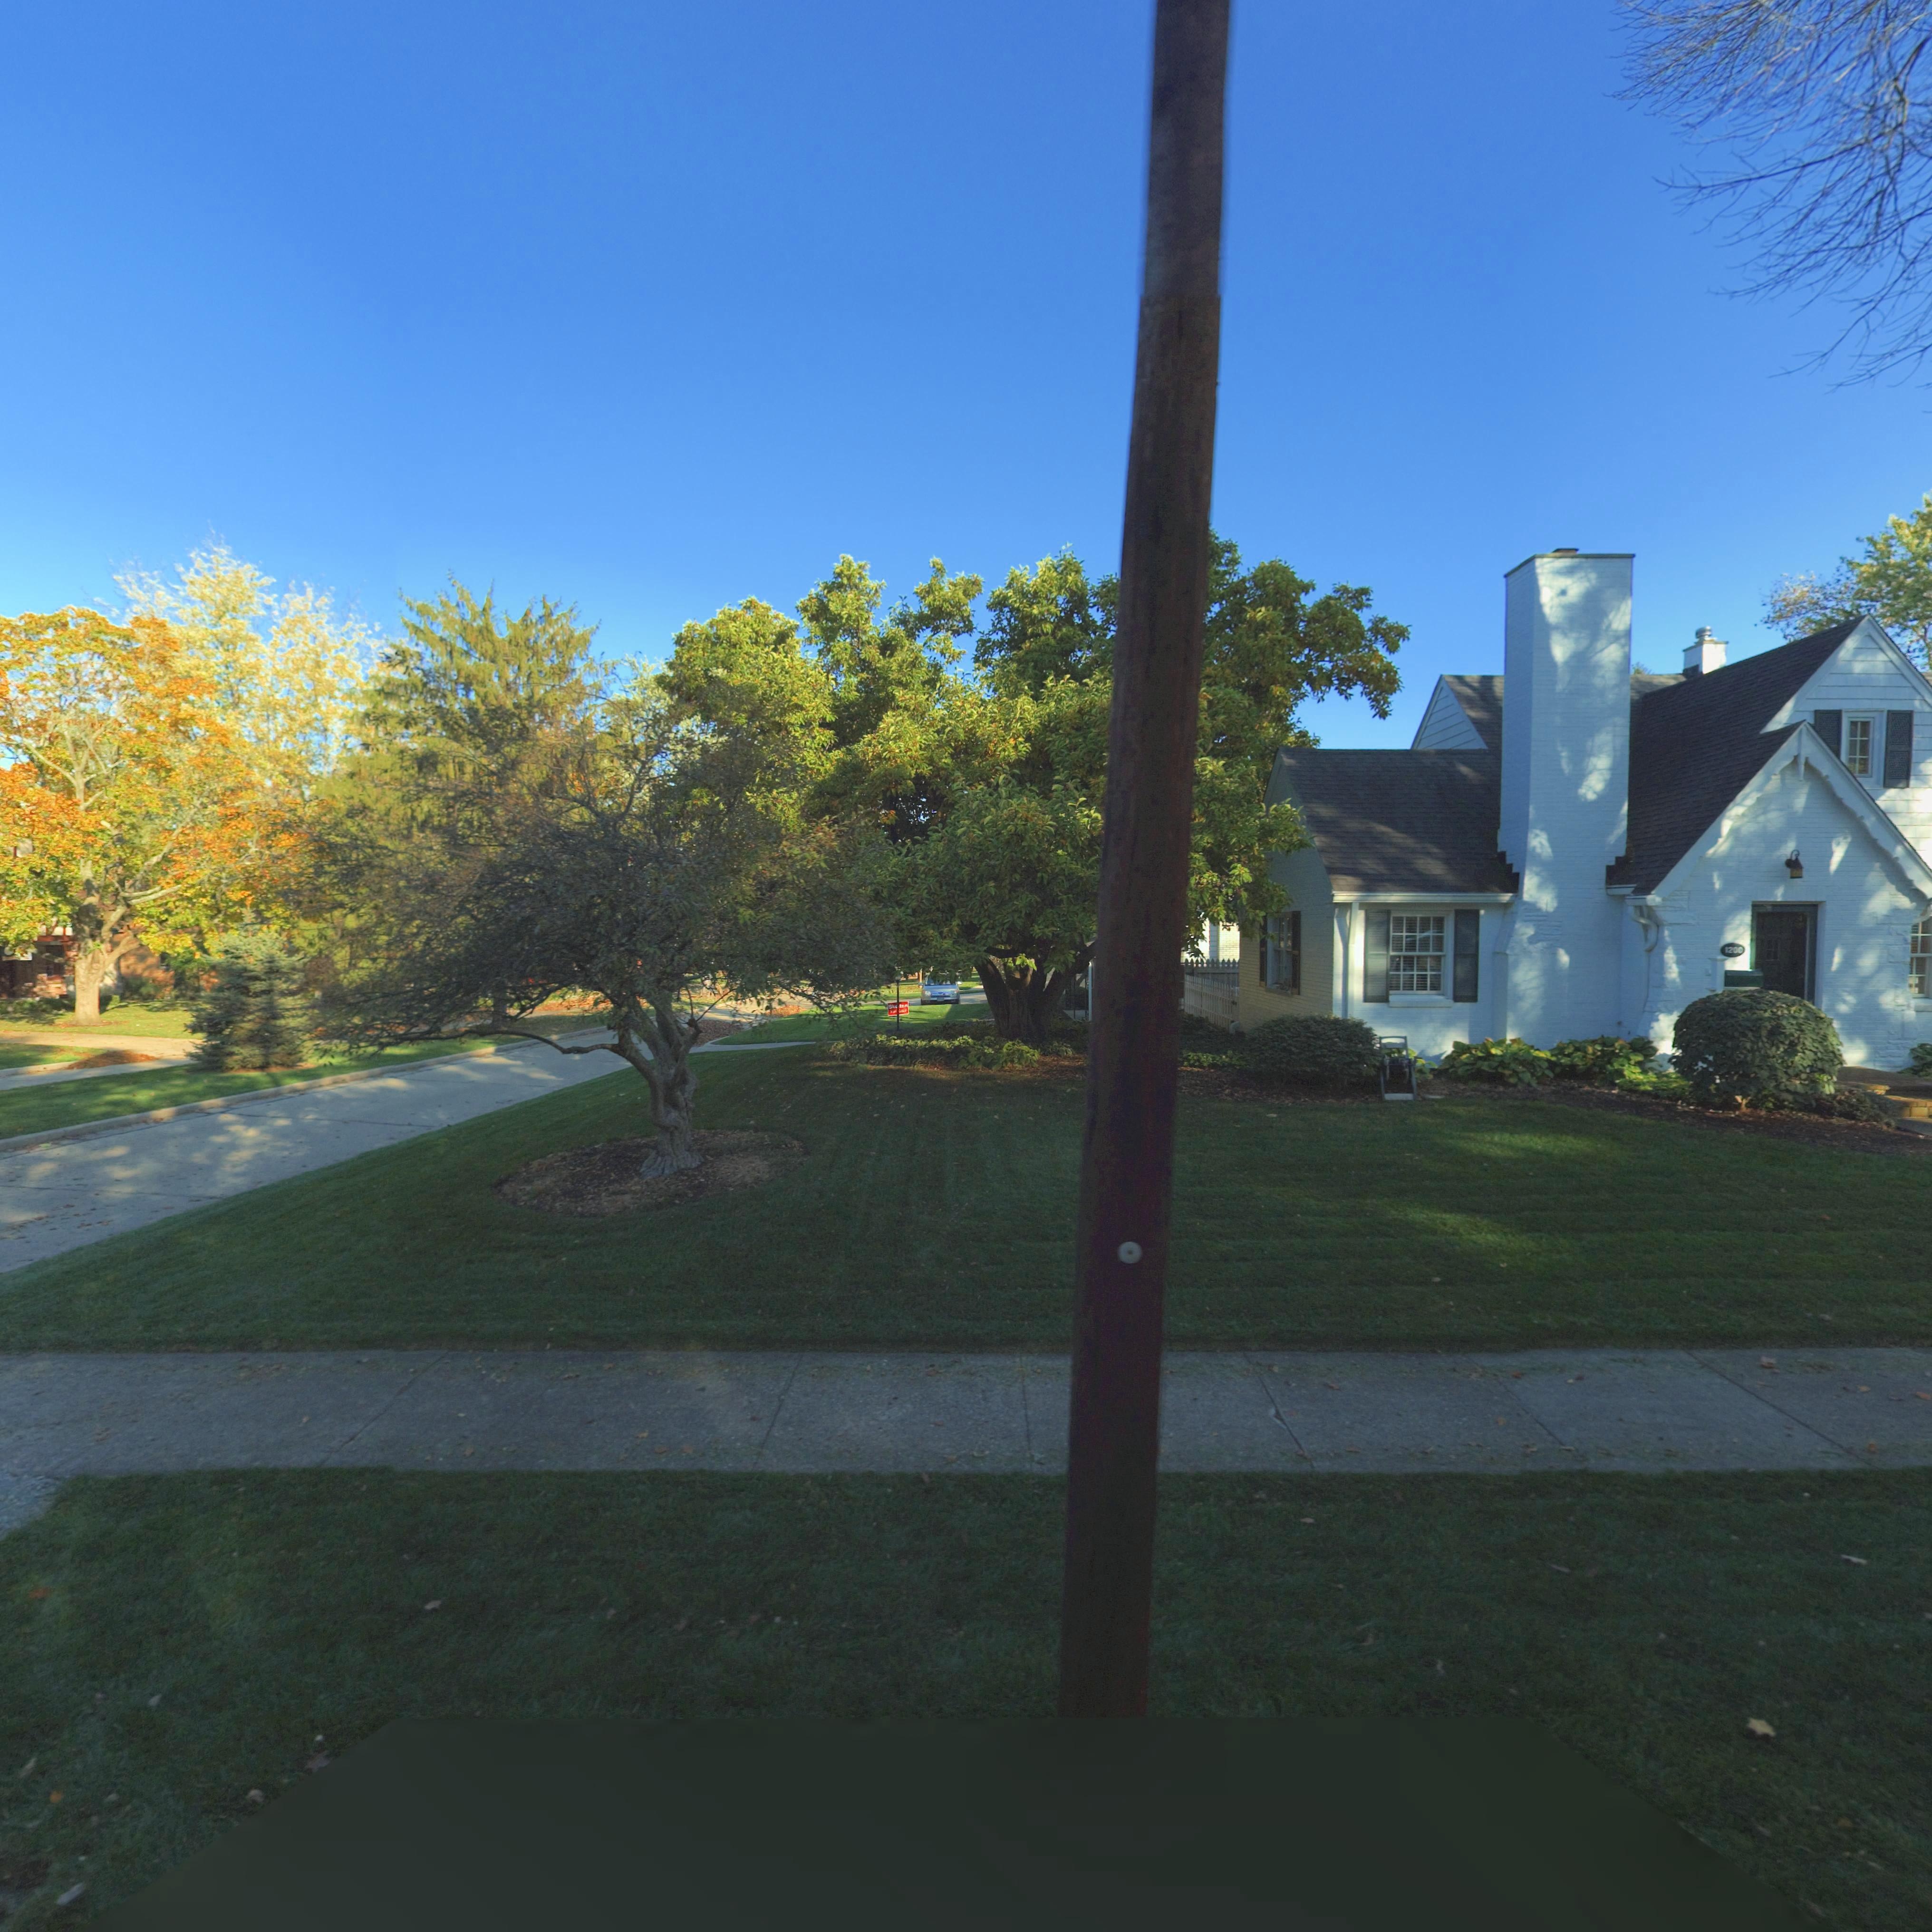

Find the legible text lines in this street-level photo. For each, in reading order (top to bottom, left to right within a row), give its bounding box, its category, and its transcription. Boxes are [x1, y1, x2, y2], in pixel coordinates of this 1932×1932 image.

[1724, 946, 1744, 954] StreetNumber: 1200